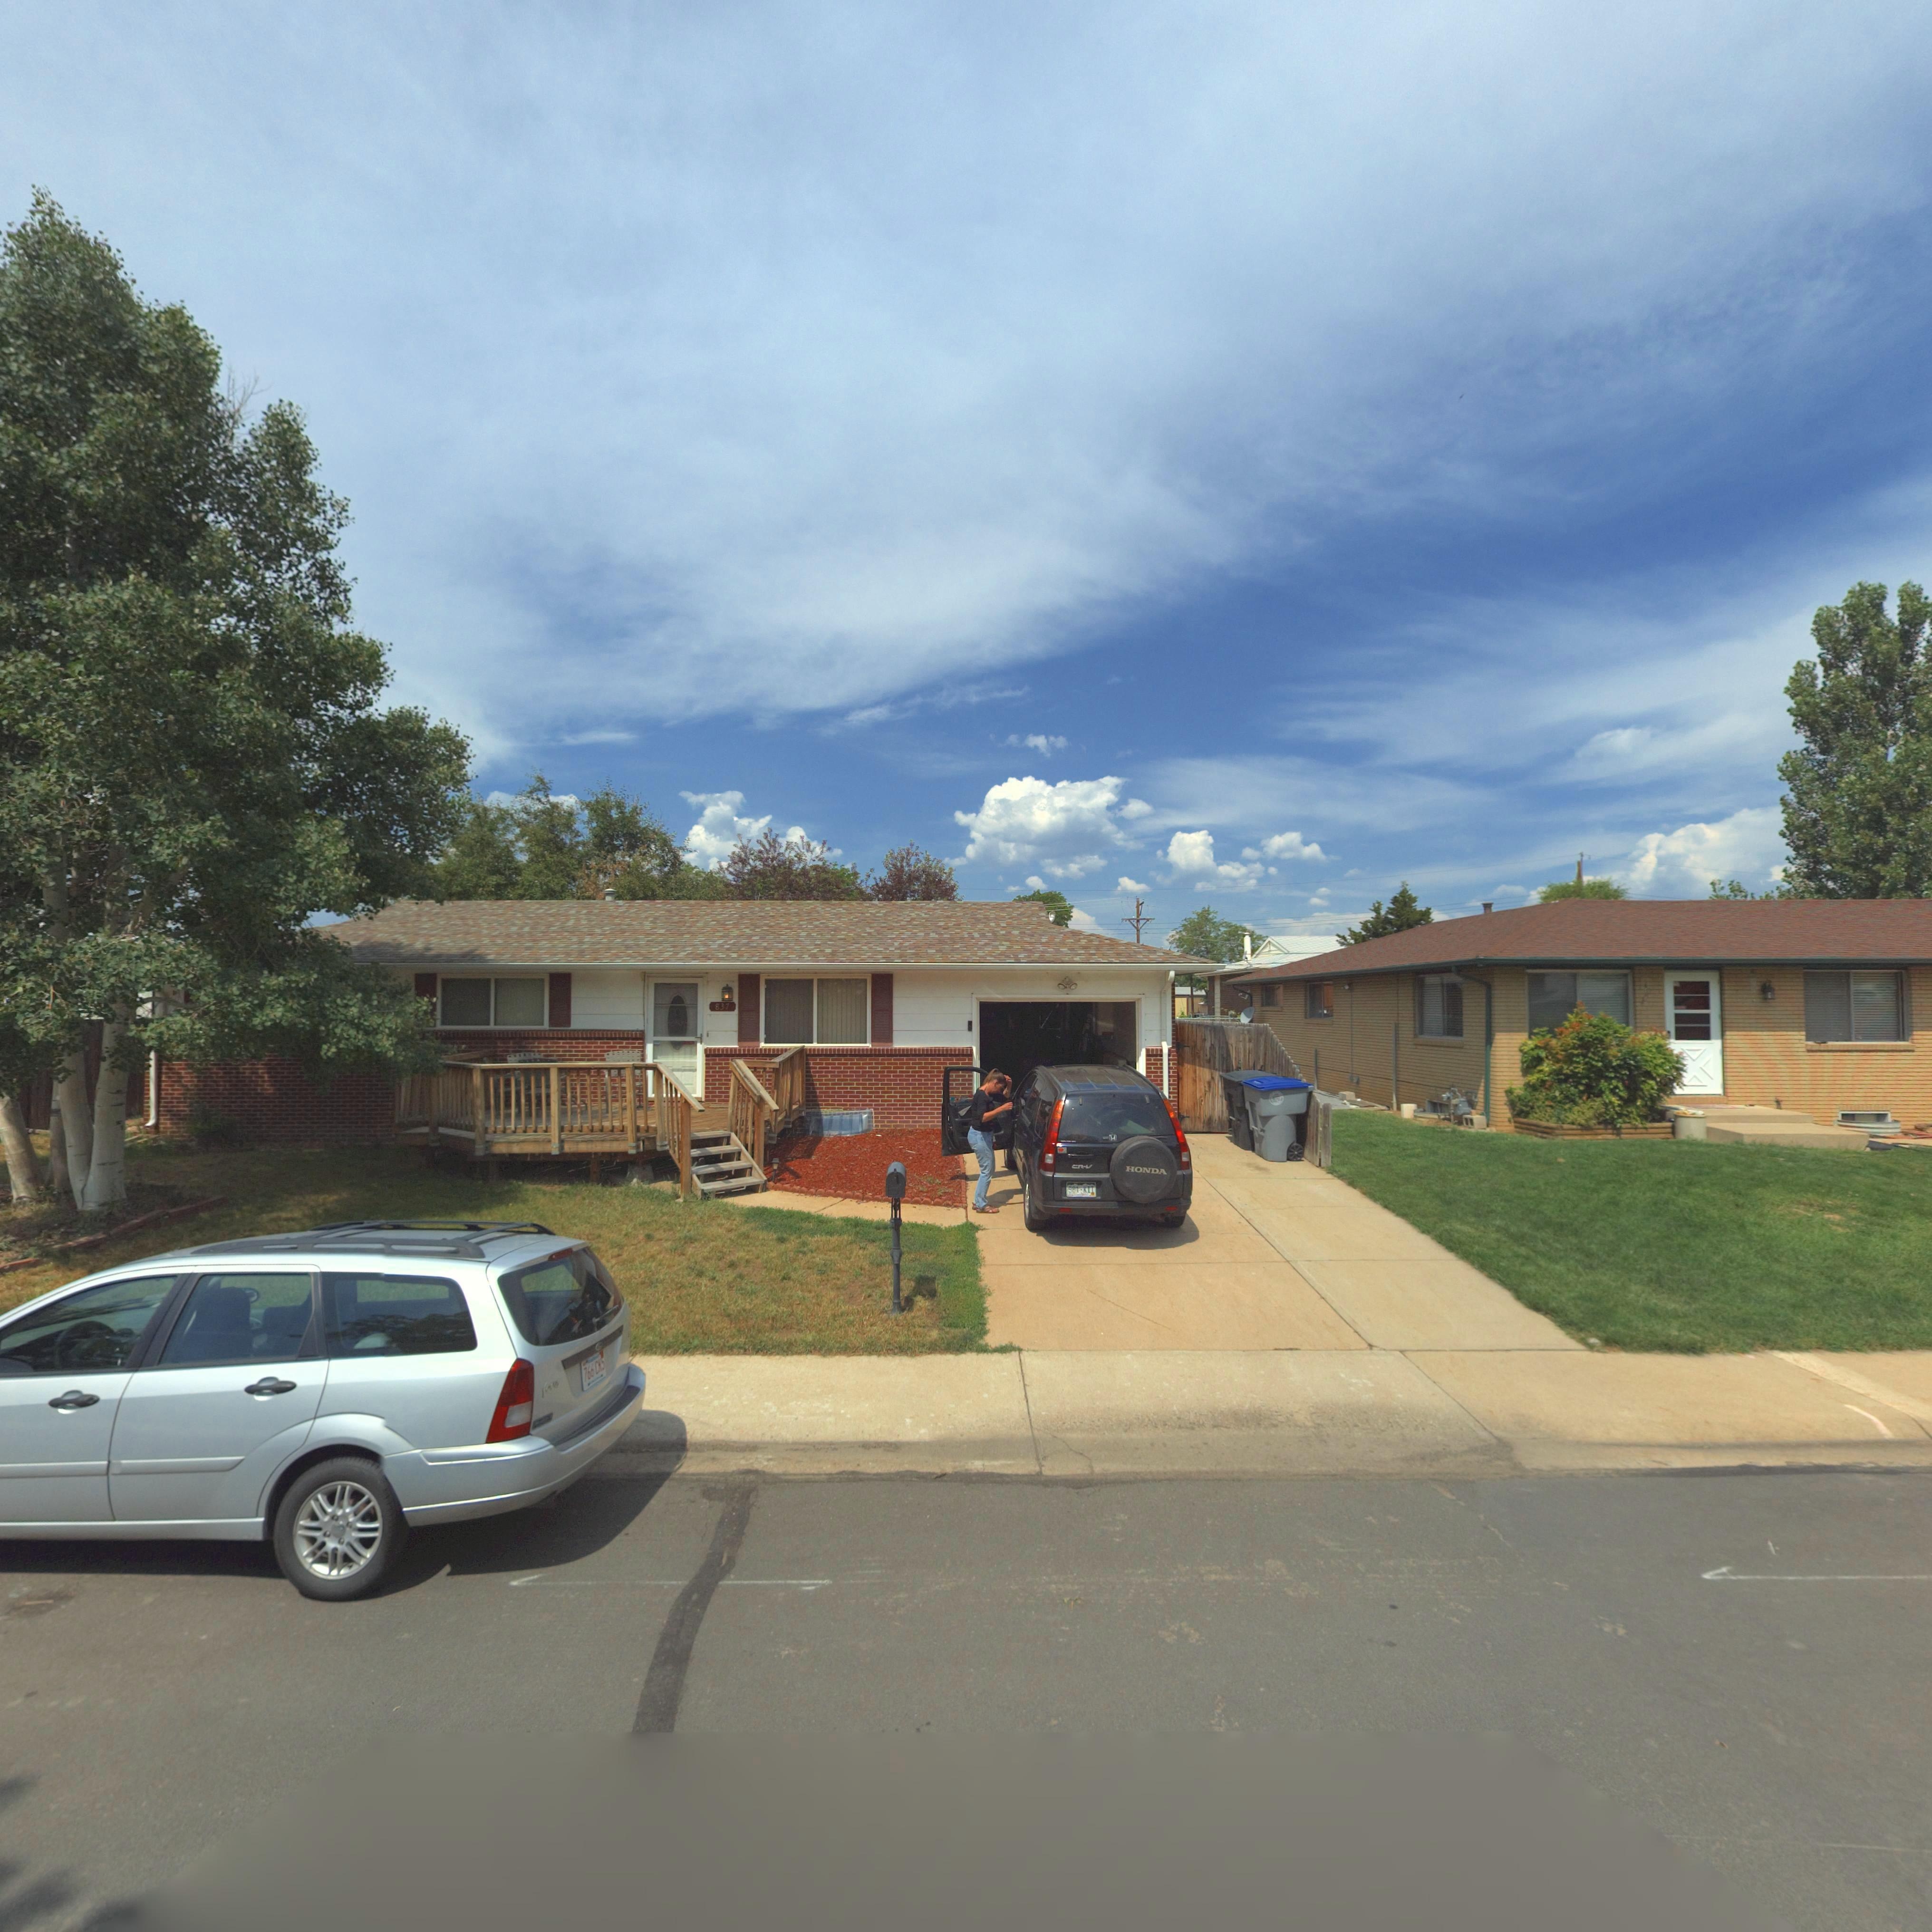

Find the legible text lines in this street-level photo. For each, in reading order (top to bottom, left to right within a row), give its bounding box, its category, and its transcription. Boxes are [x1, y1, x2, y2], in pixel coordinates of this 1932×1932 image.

[715, 1003, 730, 1010] StreetNumber: 837